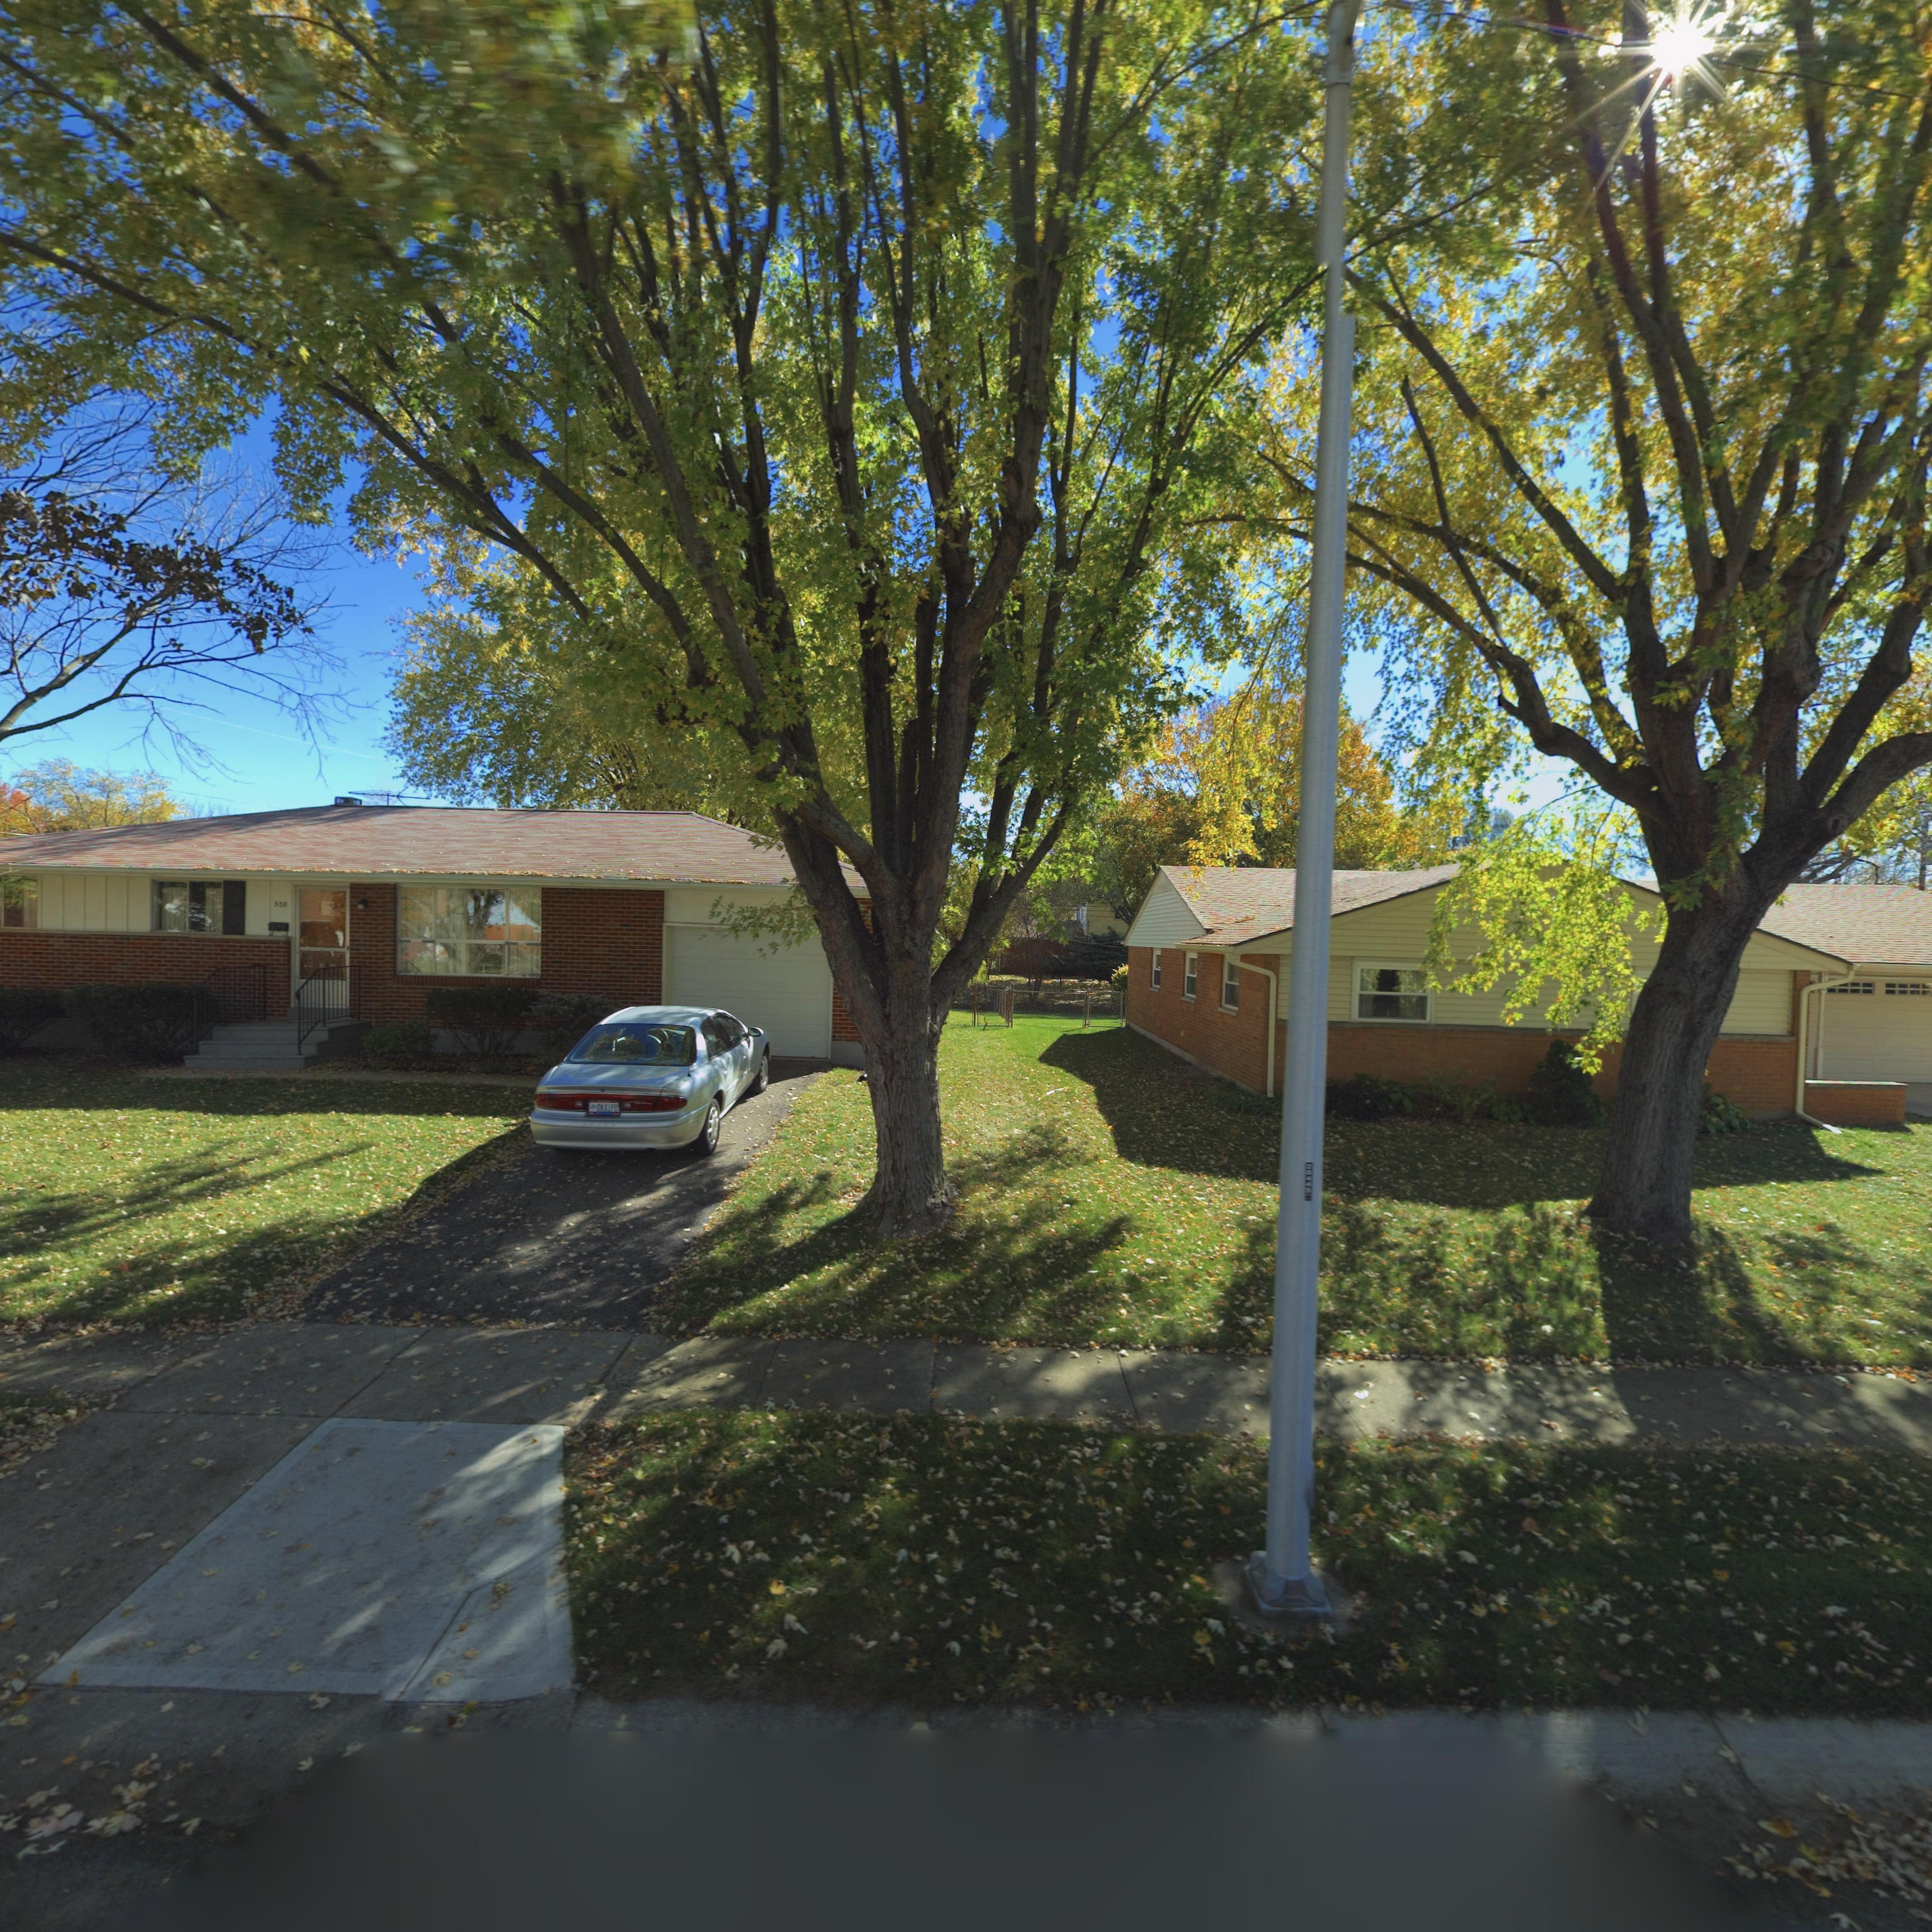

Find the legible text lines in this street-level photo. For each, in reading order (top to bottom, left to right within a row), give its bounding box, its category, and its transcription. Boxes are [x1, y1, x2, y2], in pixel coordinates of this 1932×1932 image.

[272, 900, 289, 909] StreetNumber: 308
[596, 1103, 619, 1112] None: DK41PD